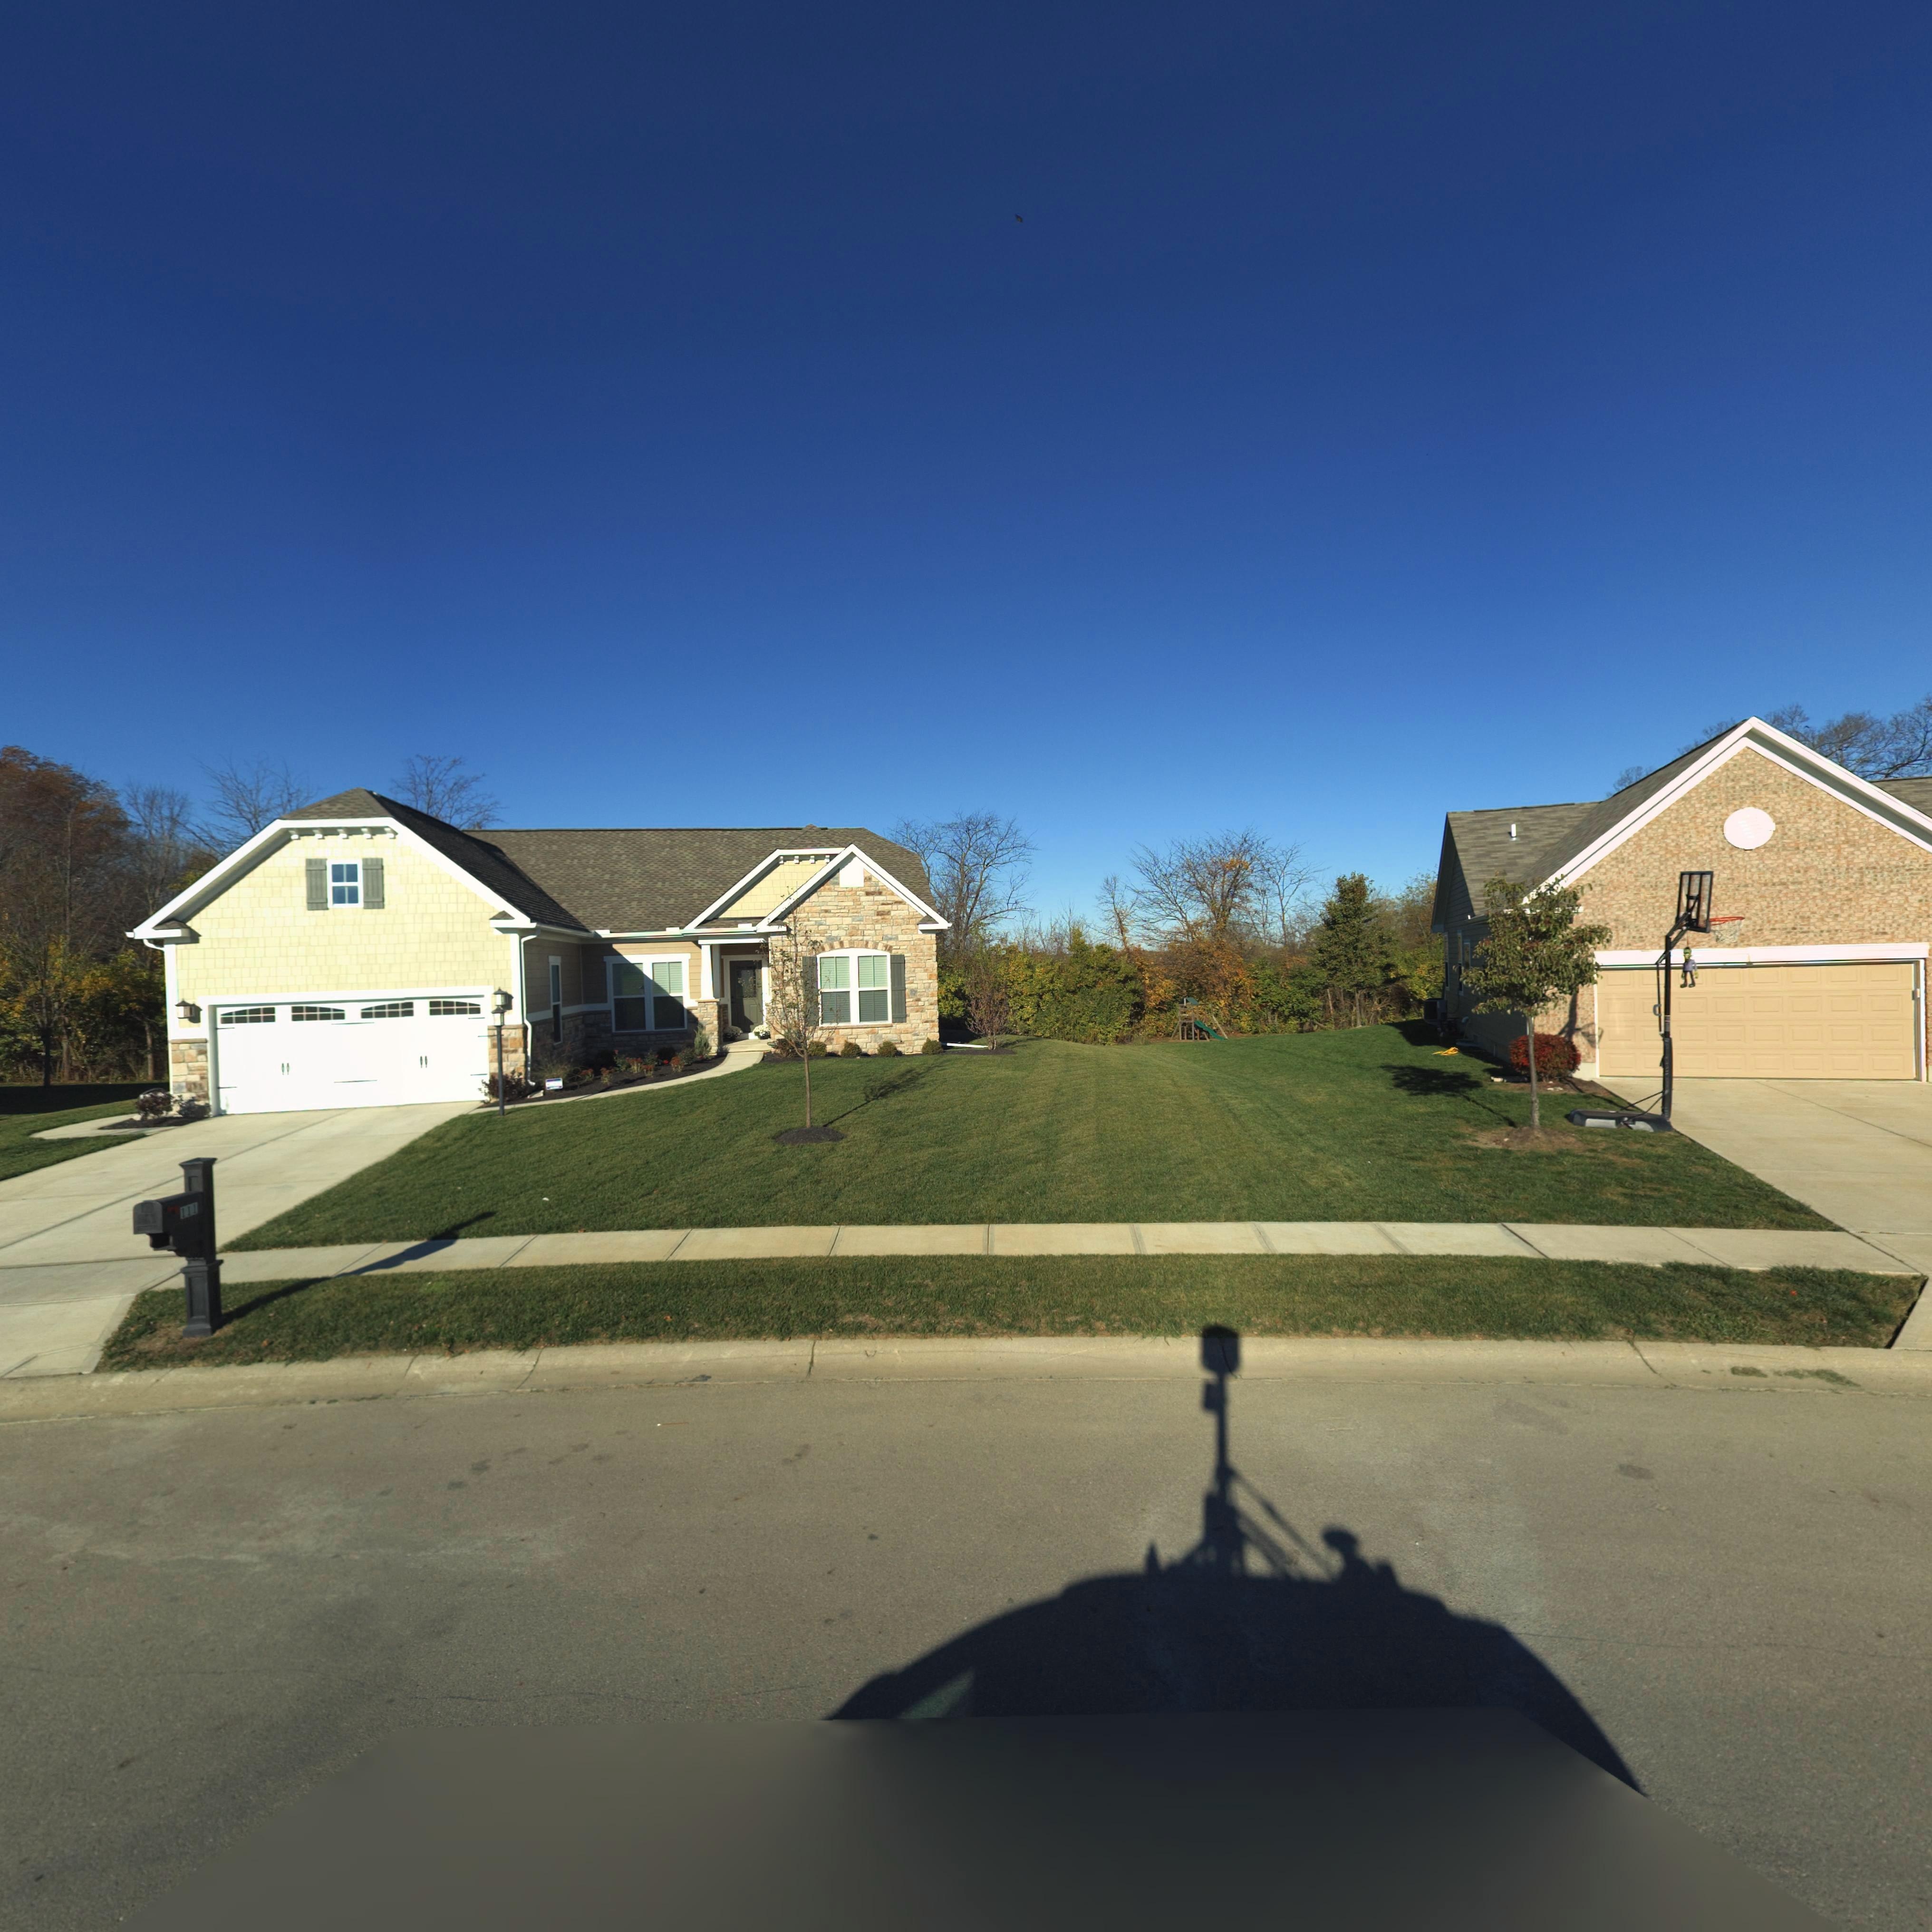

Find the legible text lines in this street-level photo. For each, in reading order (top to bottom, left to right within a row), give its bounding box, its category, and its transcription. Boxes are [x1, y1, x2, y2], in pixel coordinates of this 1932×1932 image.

[181, 1202, 198, 1219] StreetNumber: 111